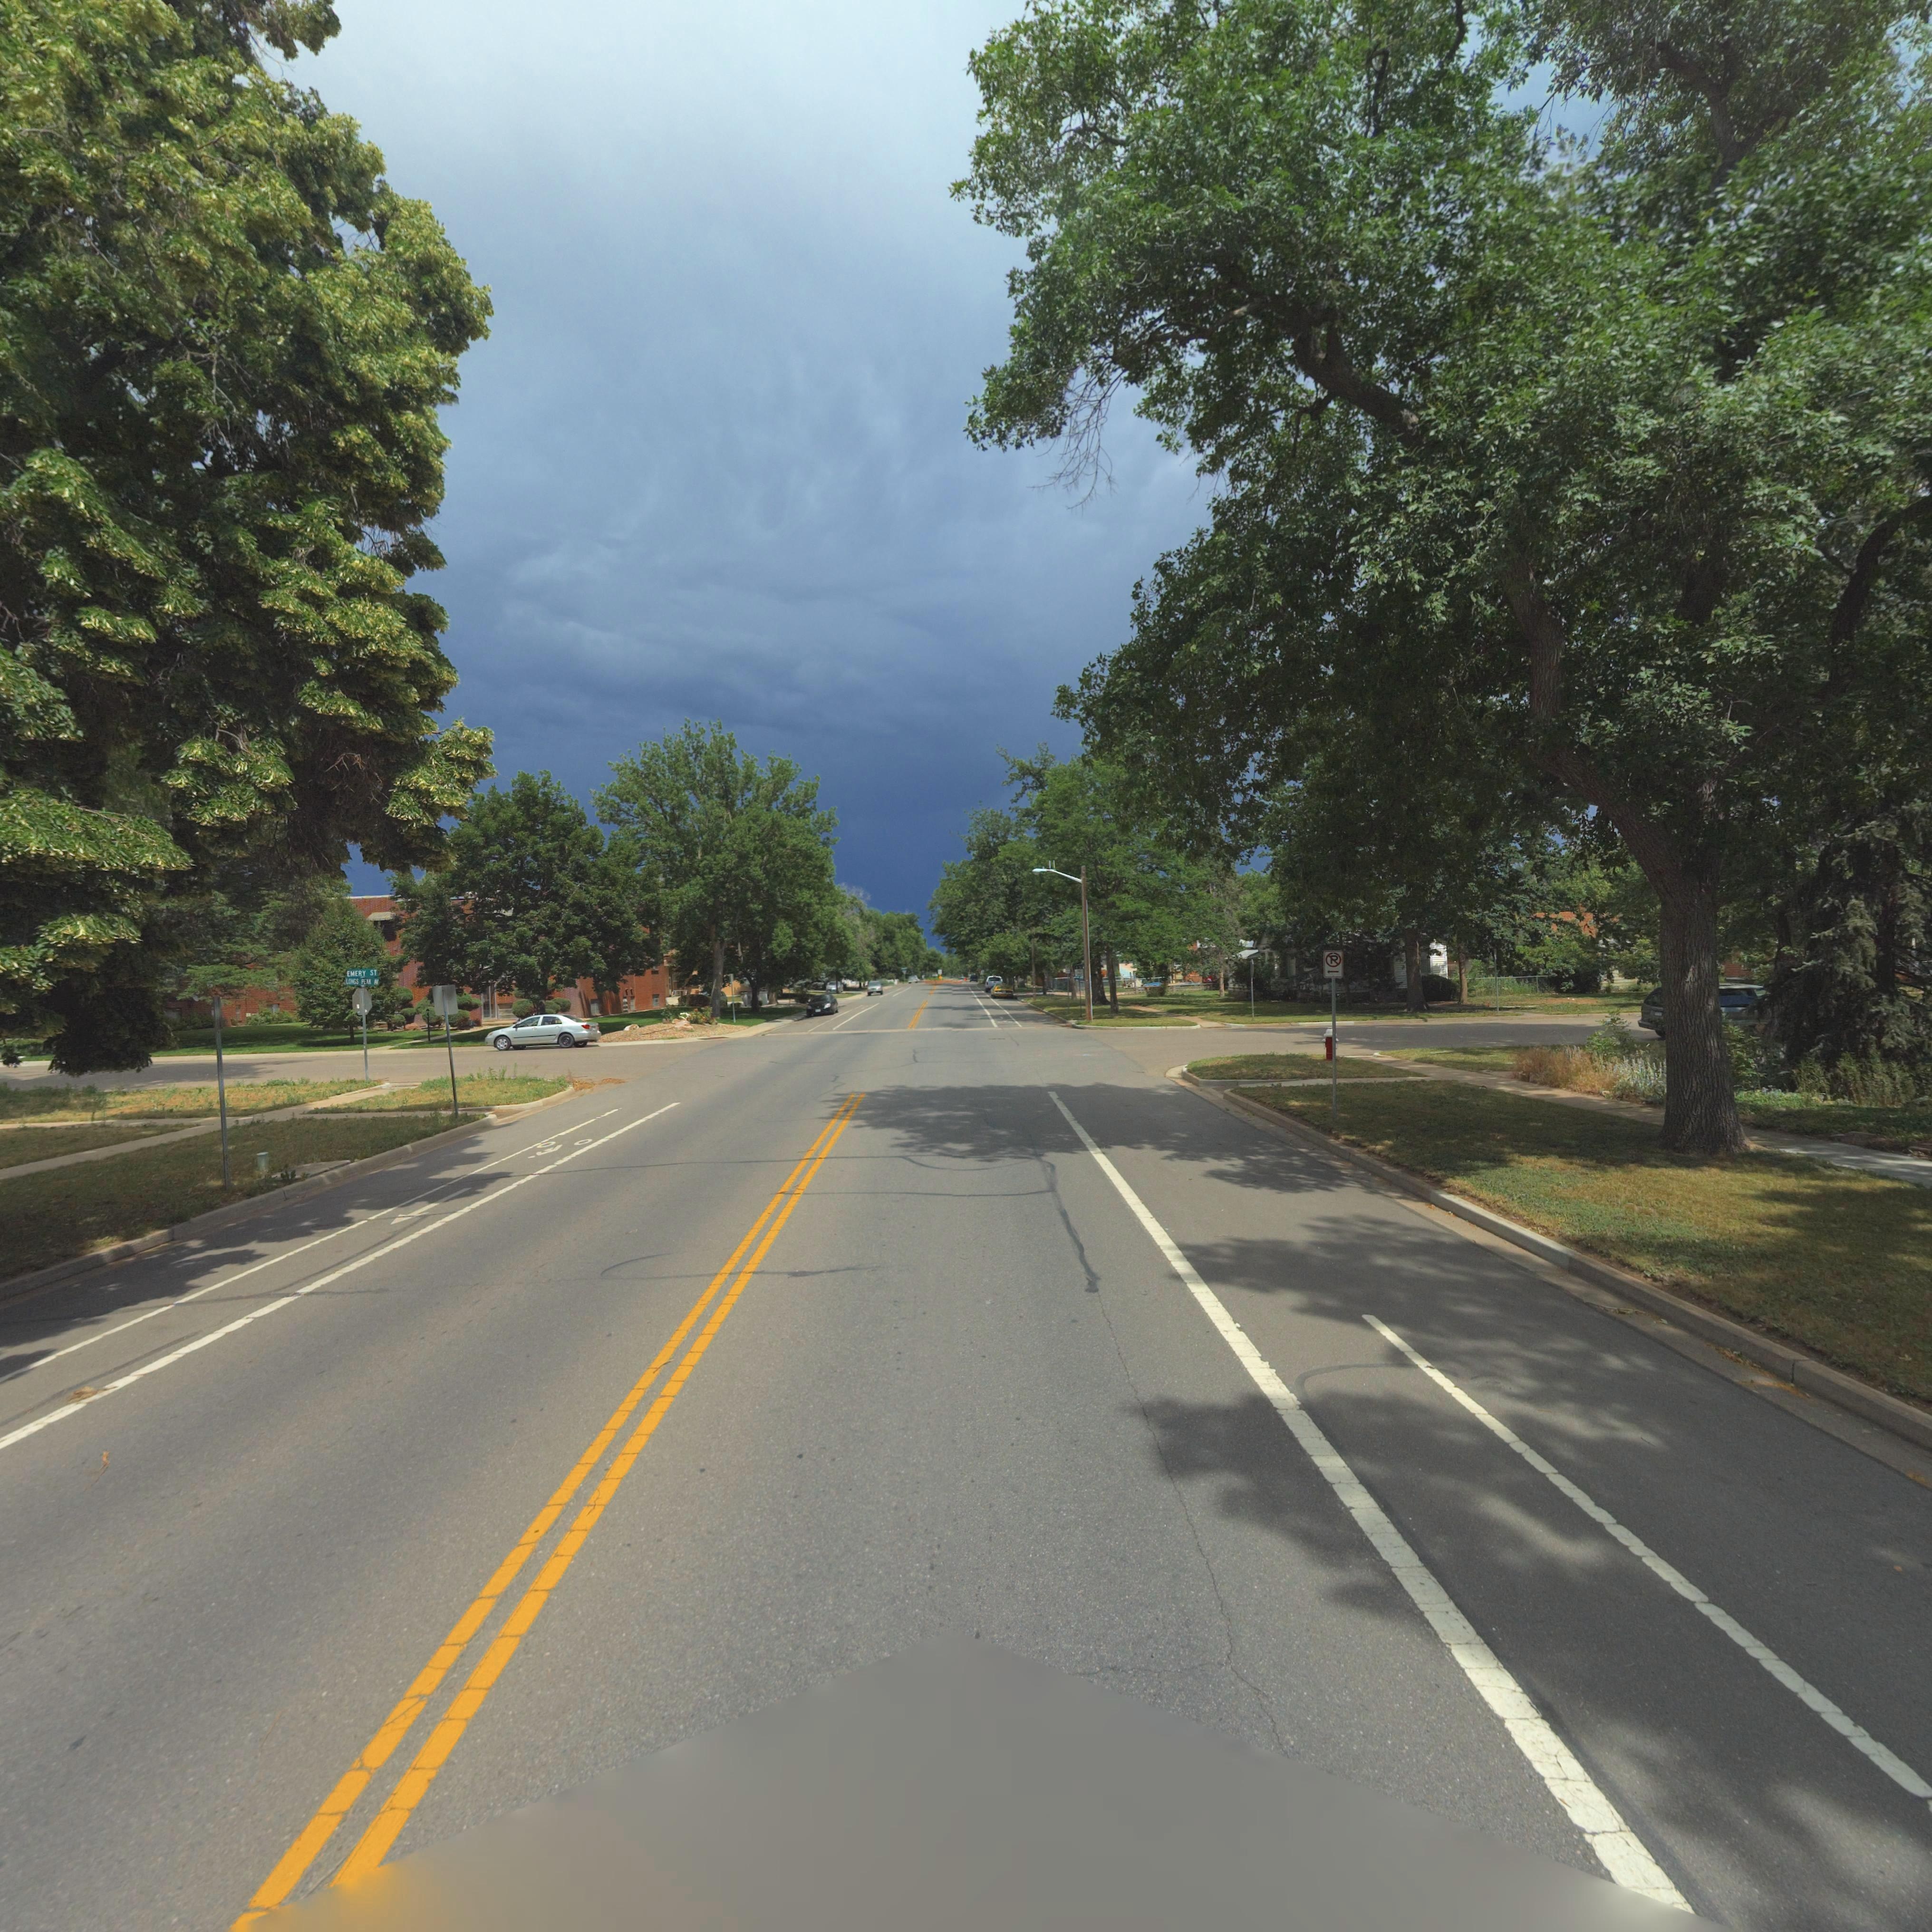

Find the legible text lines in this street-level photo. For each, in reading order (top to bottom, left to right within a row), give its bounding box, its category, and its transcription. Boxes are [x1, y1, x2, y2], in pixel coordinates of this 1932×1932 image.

[347, 969, 377, 977] StreetName: EMERY ST
[346, 978, 379, 985] StreetName: LONGS PEAK AV